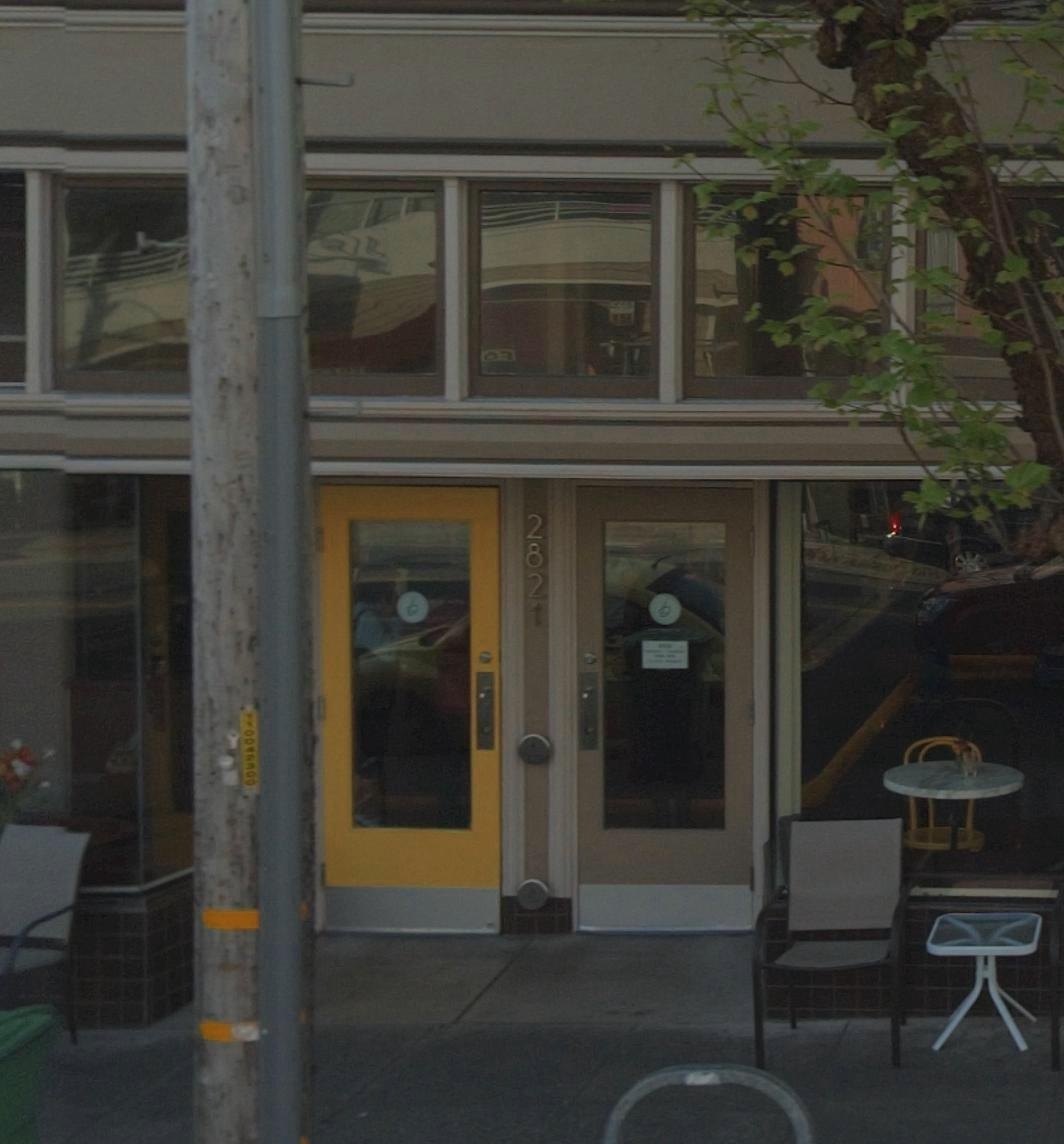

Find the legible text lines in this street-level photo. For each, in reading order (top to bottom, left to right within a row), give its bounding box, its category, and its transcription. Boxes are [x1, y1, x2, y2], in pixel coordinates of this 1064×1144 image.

[523, 510, 547, 628] StreetNumber: 2821
[241, 710, 258, 788] None: 110042300